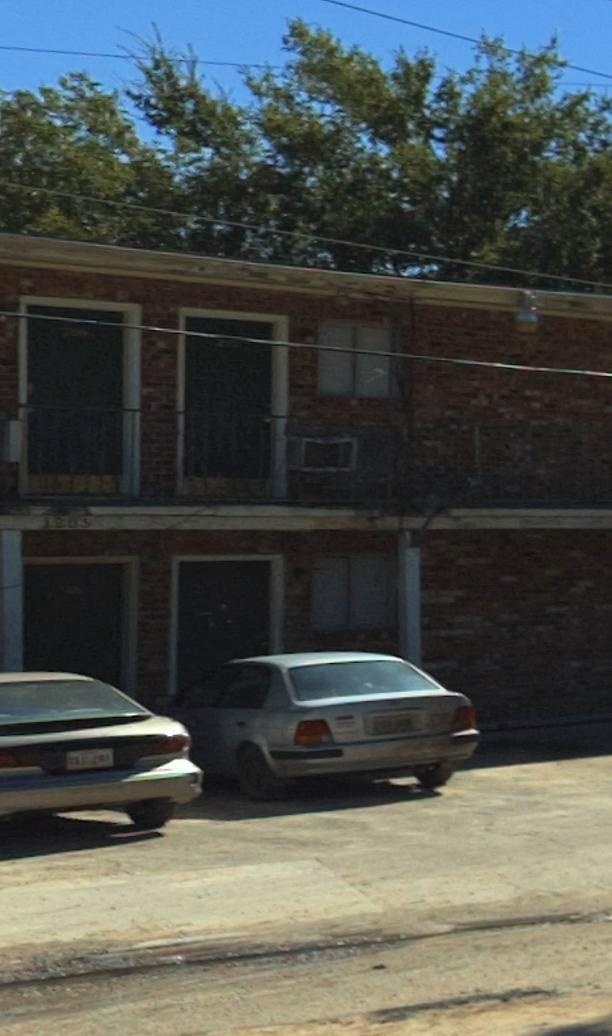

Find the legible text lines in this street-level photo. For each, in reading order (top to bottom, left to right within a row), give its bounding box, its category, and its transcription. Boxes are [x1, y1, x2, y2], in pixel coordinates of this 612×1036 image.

[40, 515, 94, 529] StreetNumber: 1205